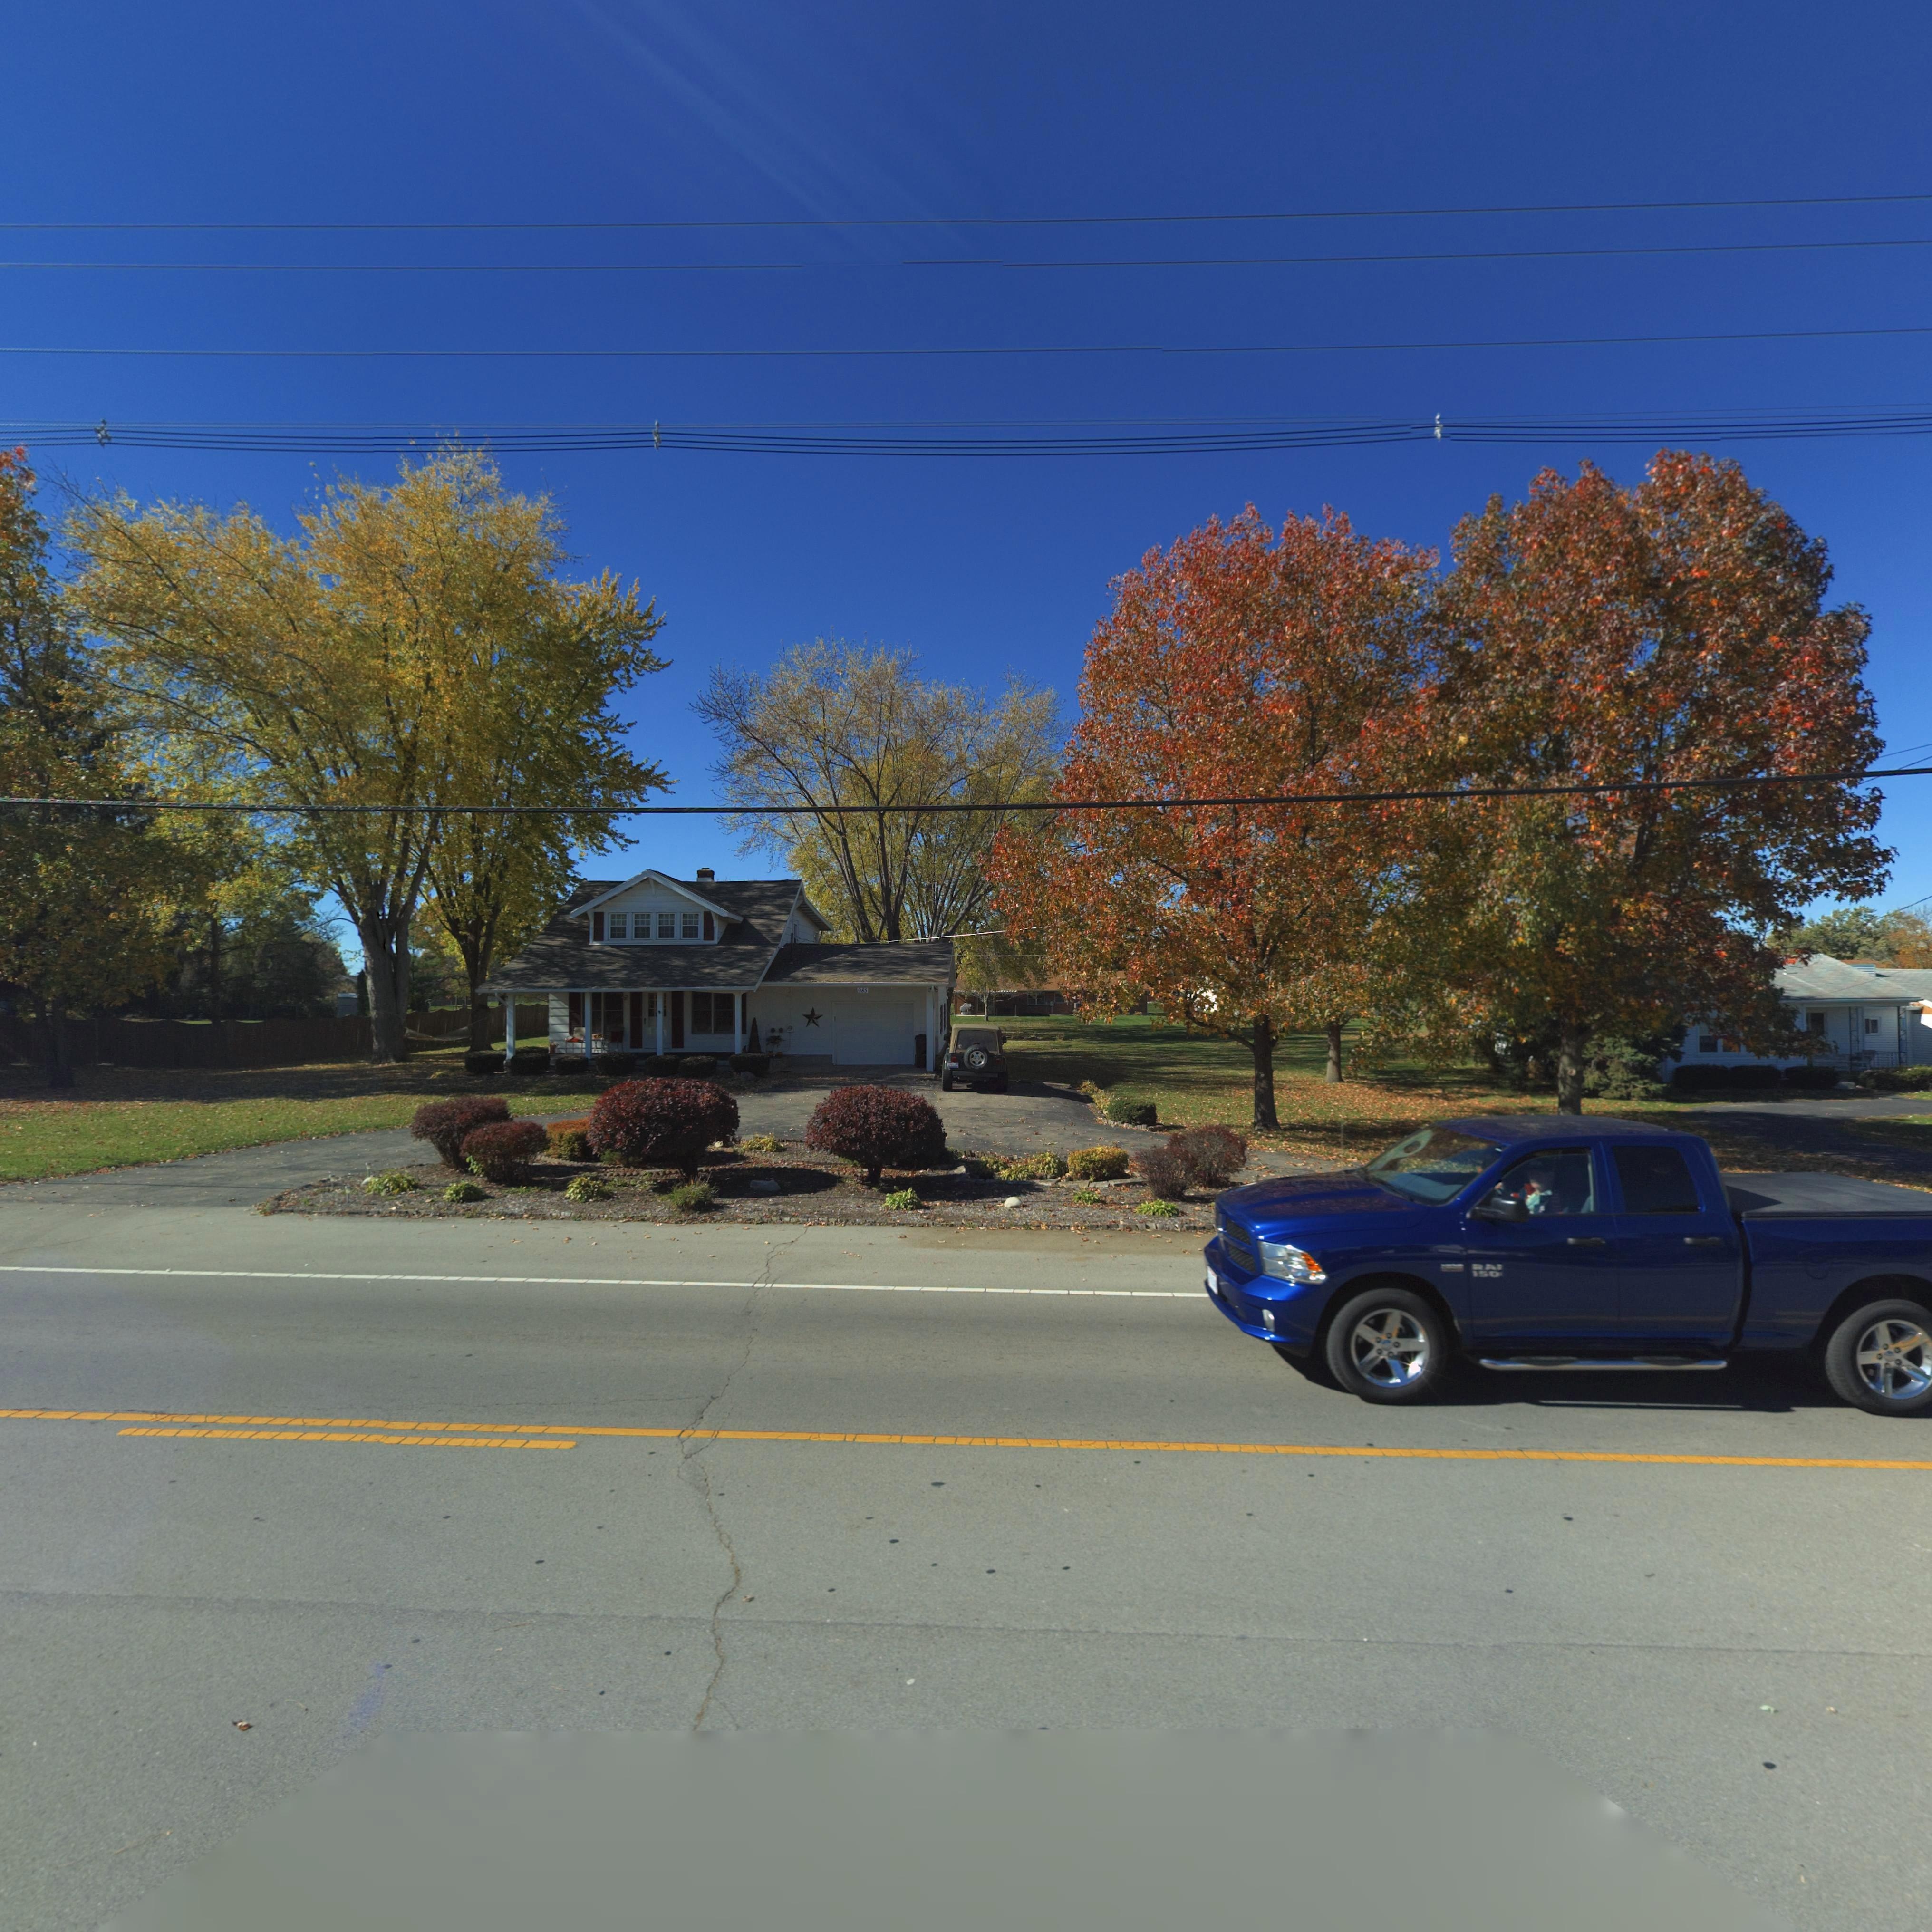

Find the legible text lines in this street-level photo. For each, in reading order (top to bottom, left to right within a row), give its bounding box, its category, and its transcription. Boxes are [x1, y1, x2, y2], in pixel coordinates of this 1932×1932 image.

[857, 987, 868, 994] StreetNumber: 985